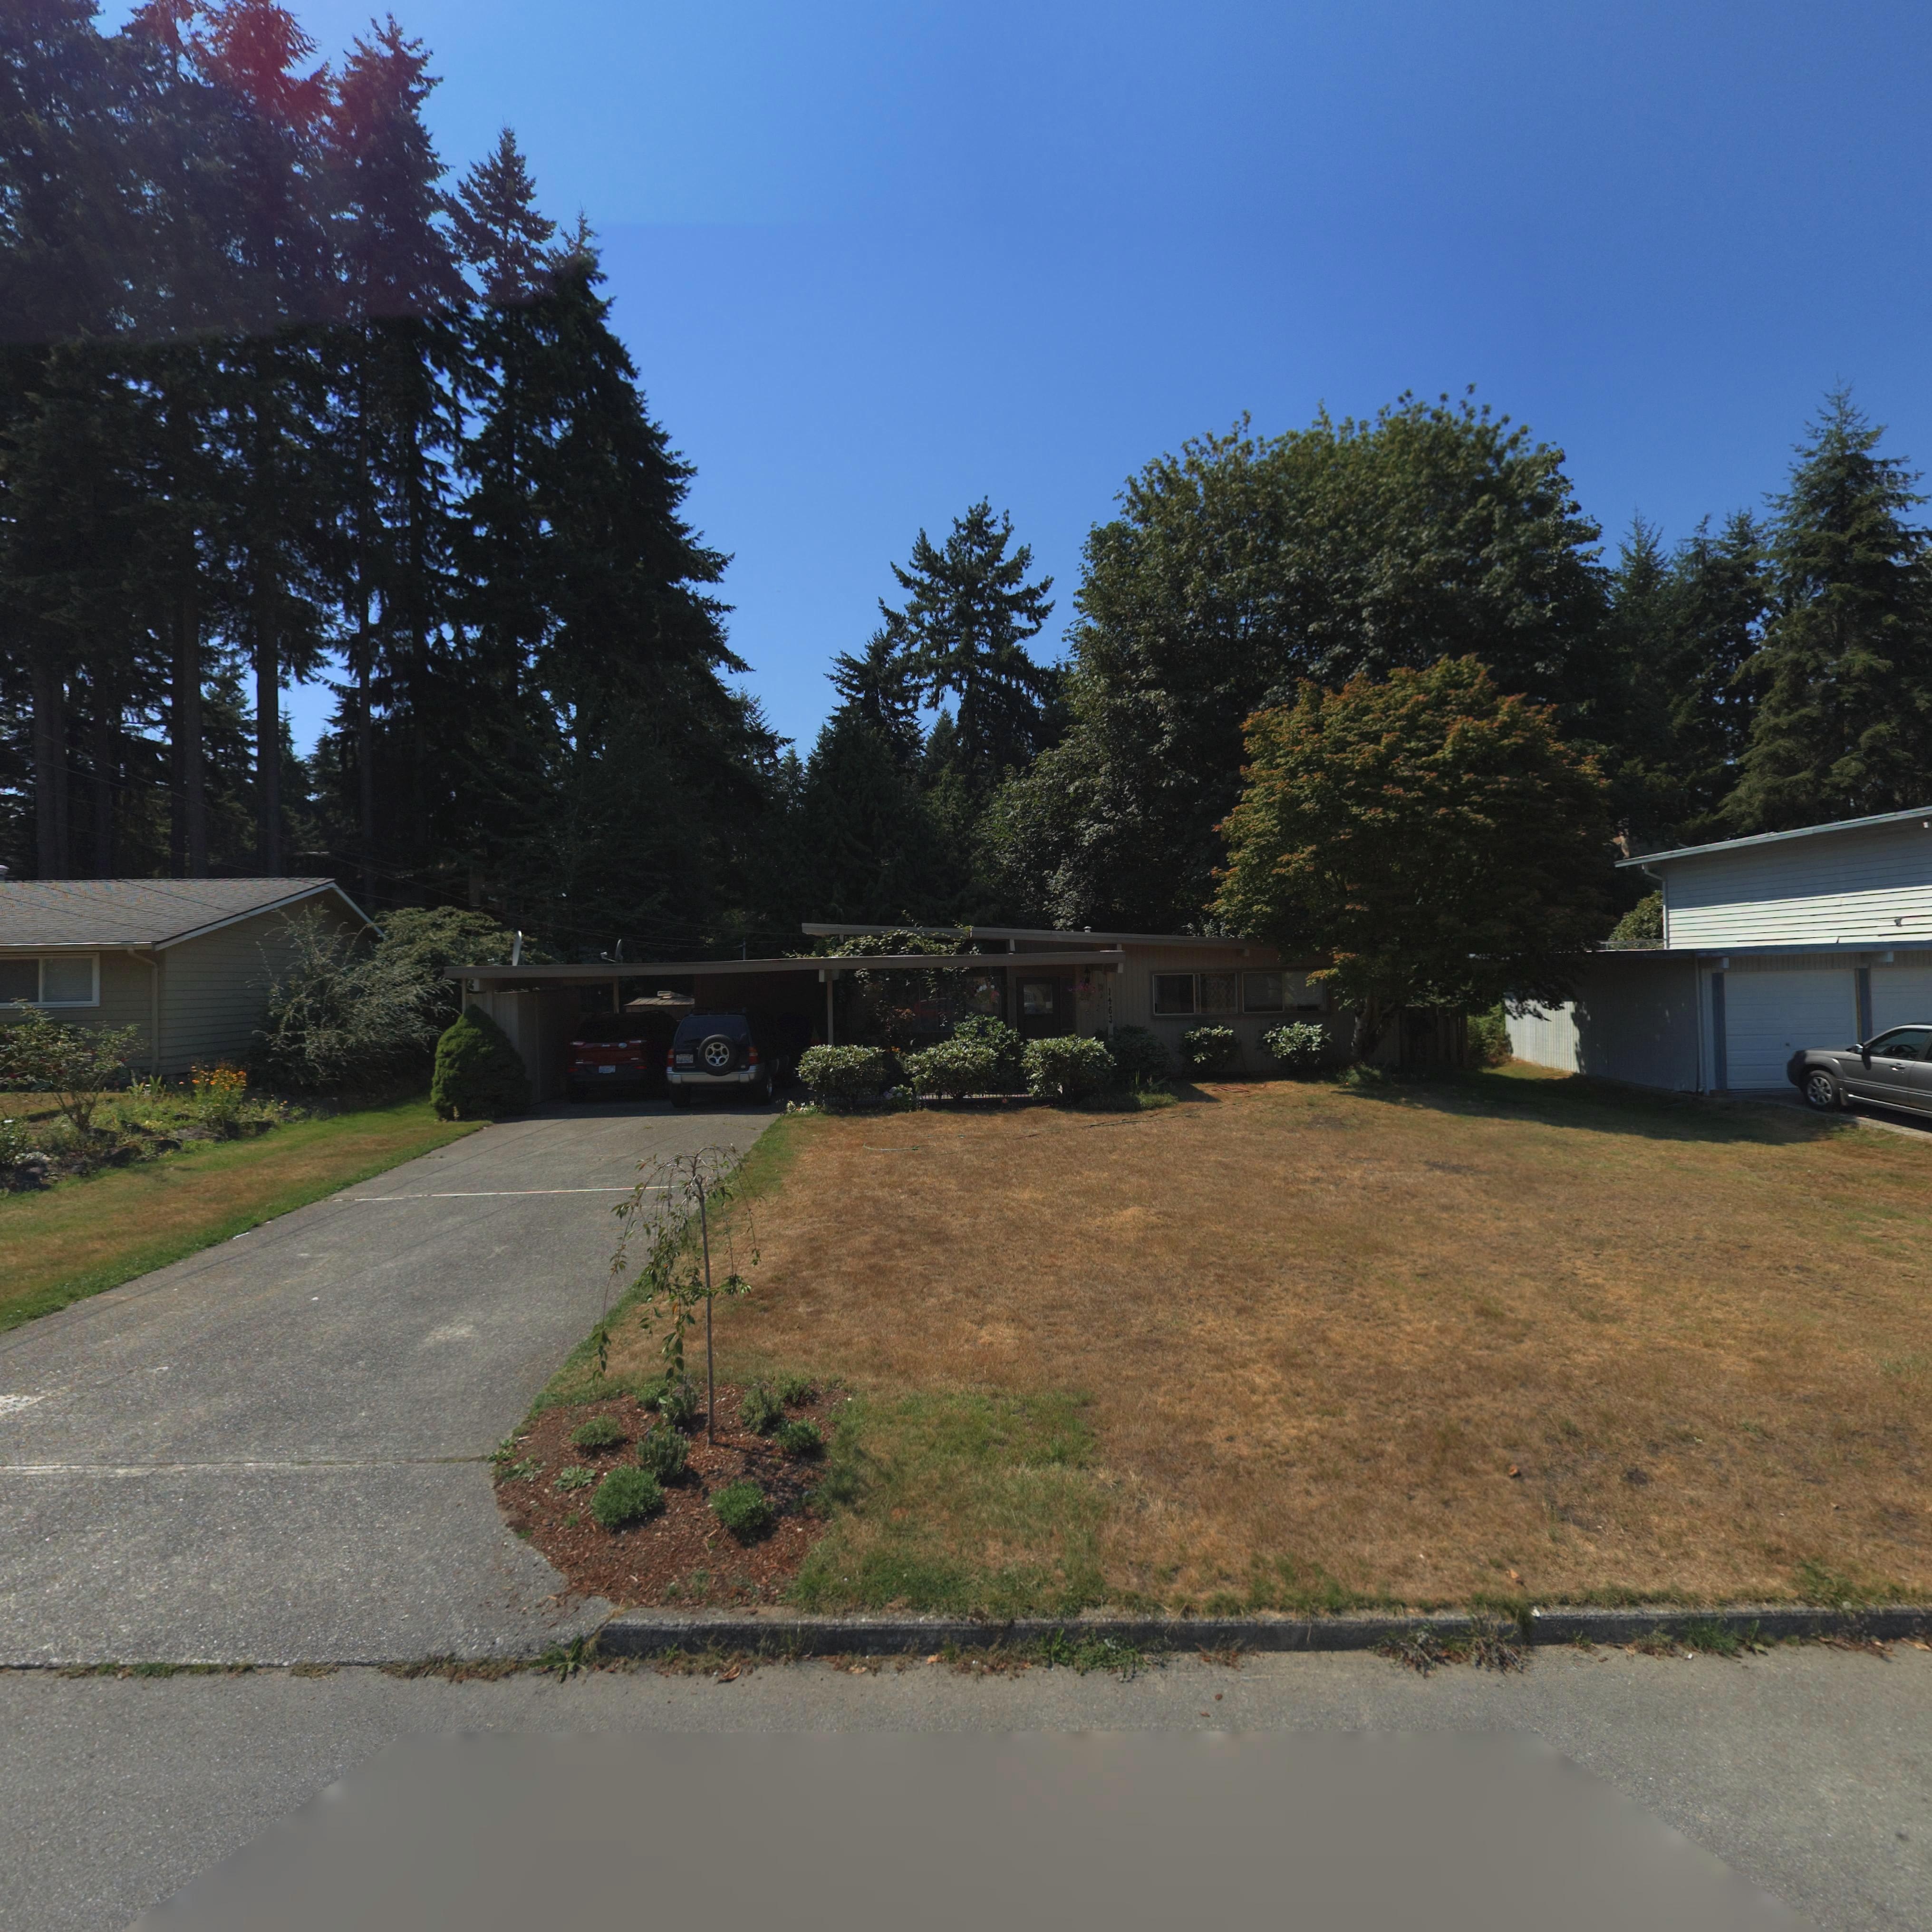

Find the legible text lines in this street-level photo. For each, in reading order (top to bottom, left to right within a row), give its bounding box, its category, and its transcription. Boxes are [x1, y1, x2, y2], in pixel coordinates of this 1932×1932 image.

[1107, 987, 1113, 1023] StreetNumber: 1463